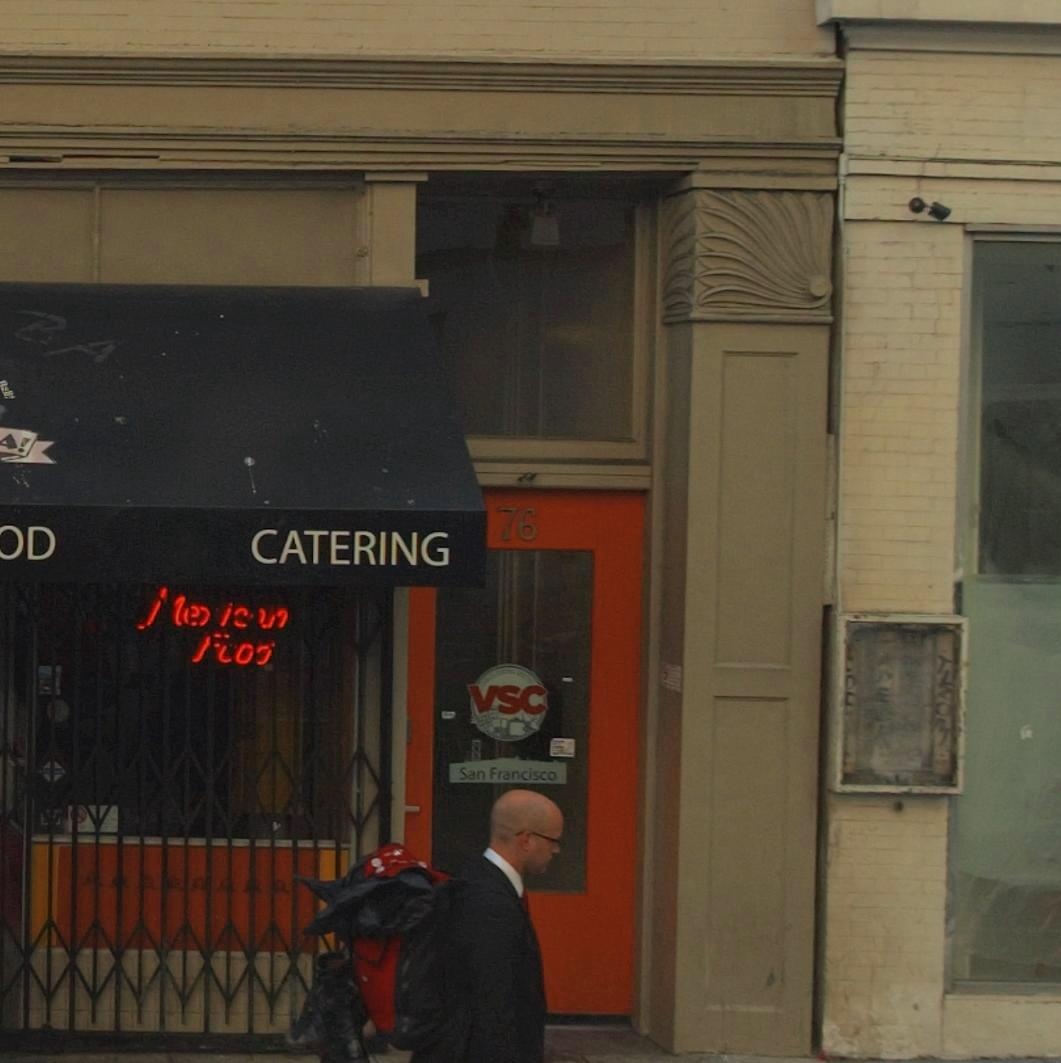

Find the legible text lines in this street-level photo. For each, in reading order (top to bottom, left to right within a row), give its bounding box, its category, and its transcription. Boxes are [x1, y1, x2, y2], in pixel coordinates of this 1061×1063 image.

[7, 300, 129, 376] BusinessName: BA
[495, 505, 538, 543] StreetNumber: 76
[26, 525, 58, 562] None: D
[249, 527, 453, 569] None: CATERING
[468, 685, 547, 715] BusinessName: VSC
[458, 766, 557, 782] None: San Francisco